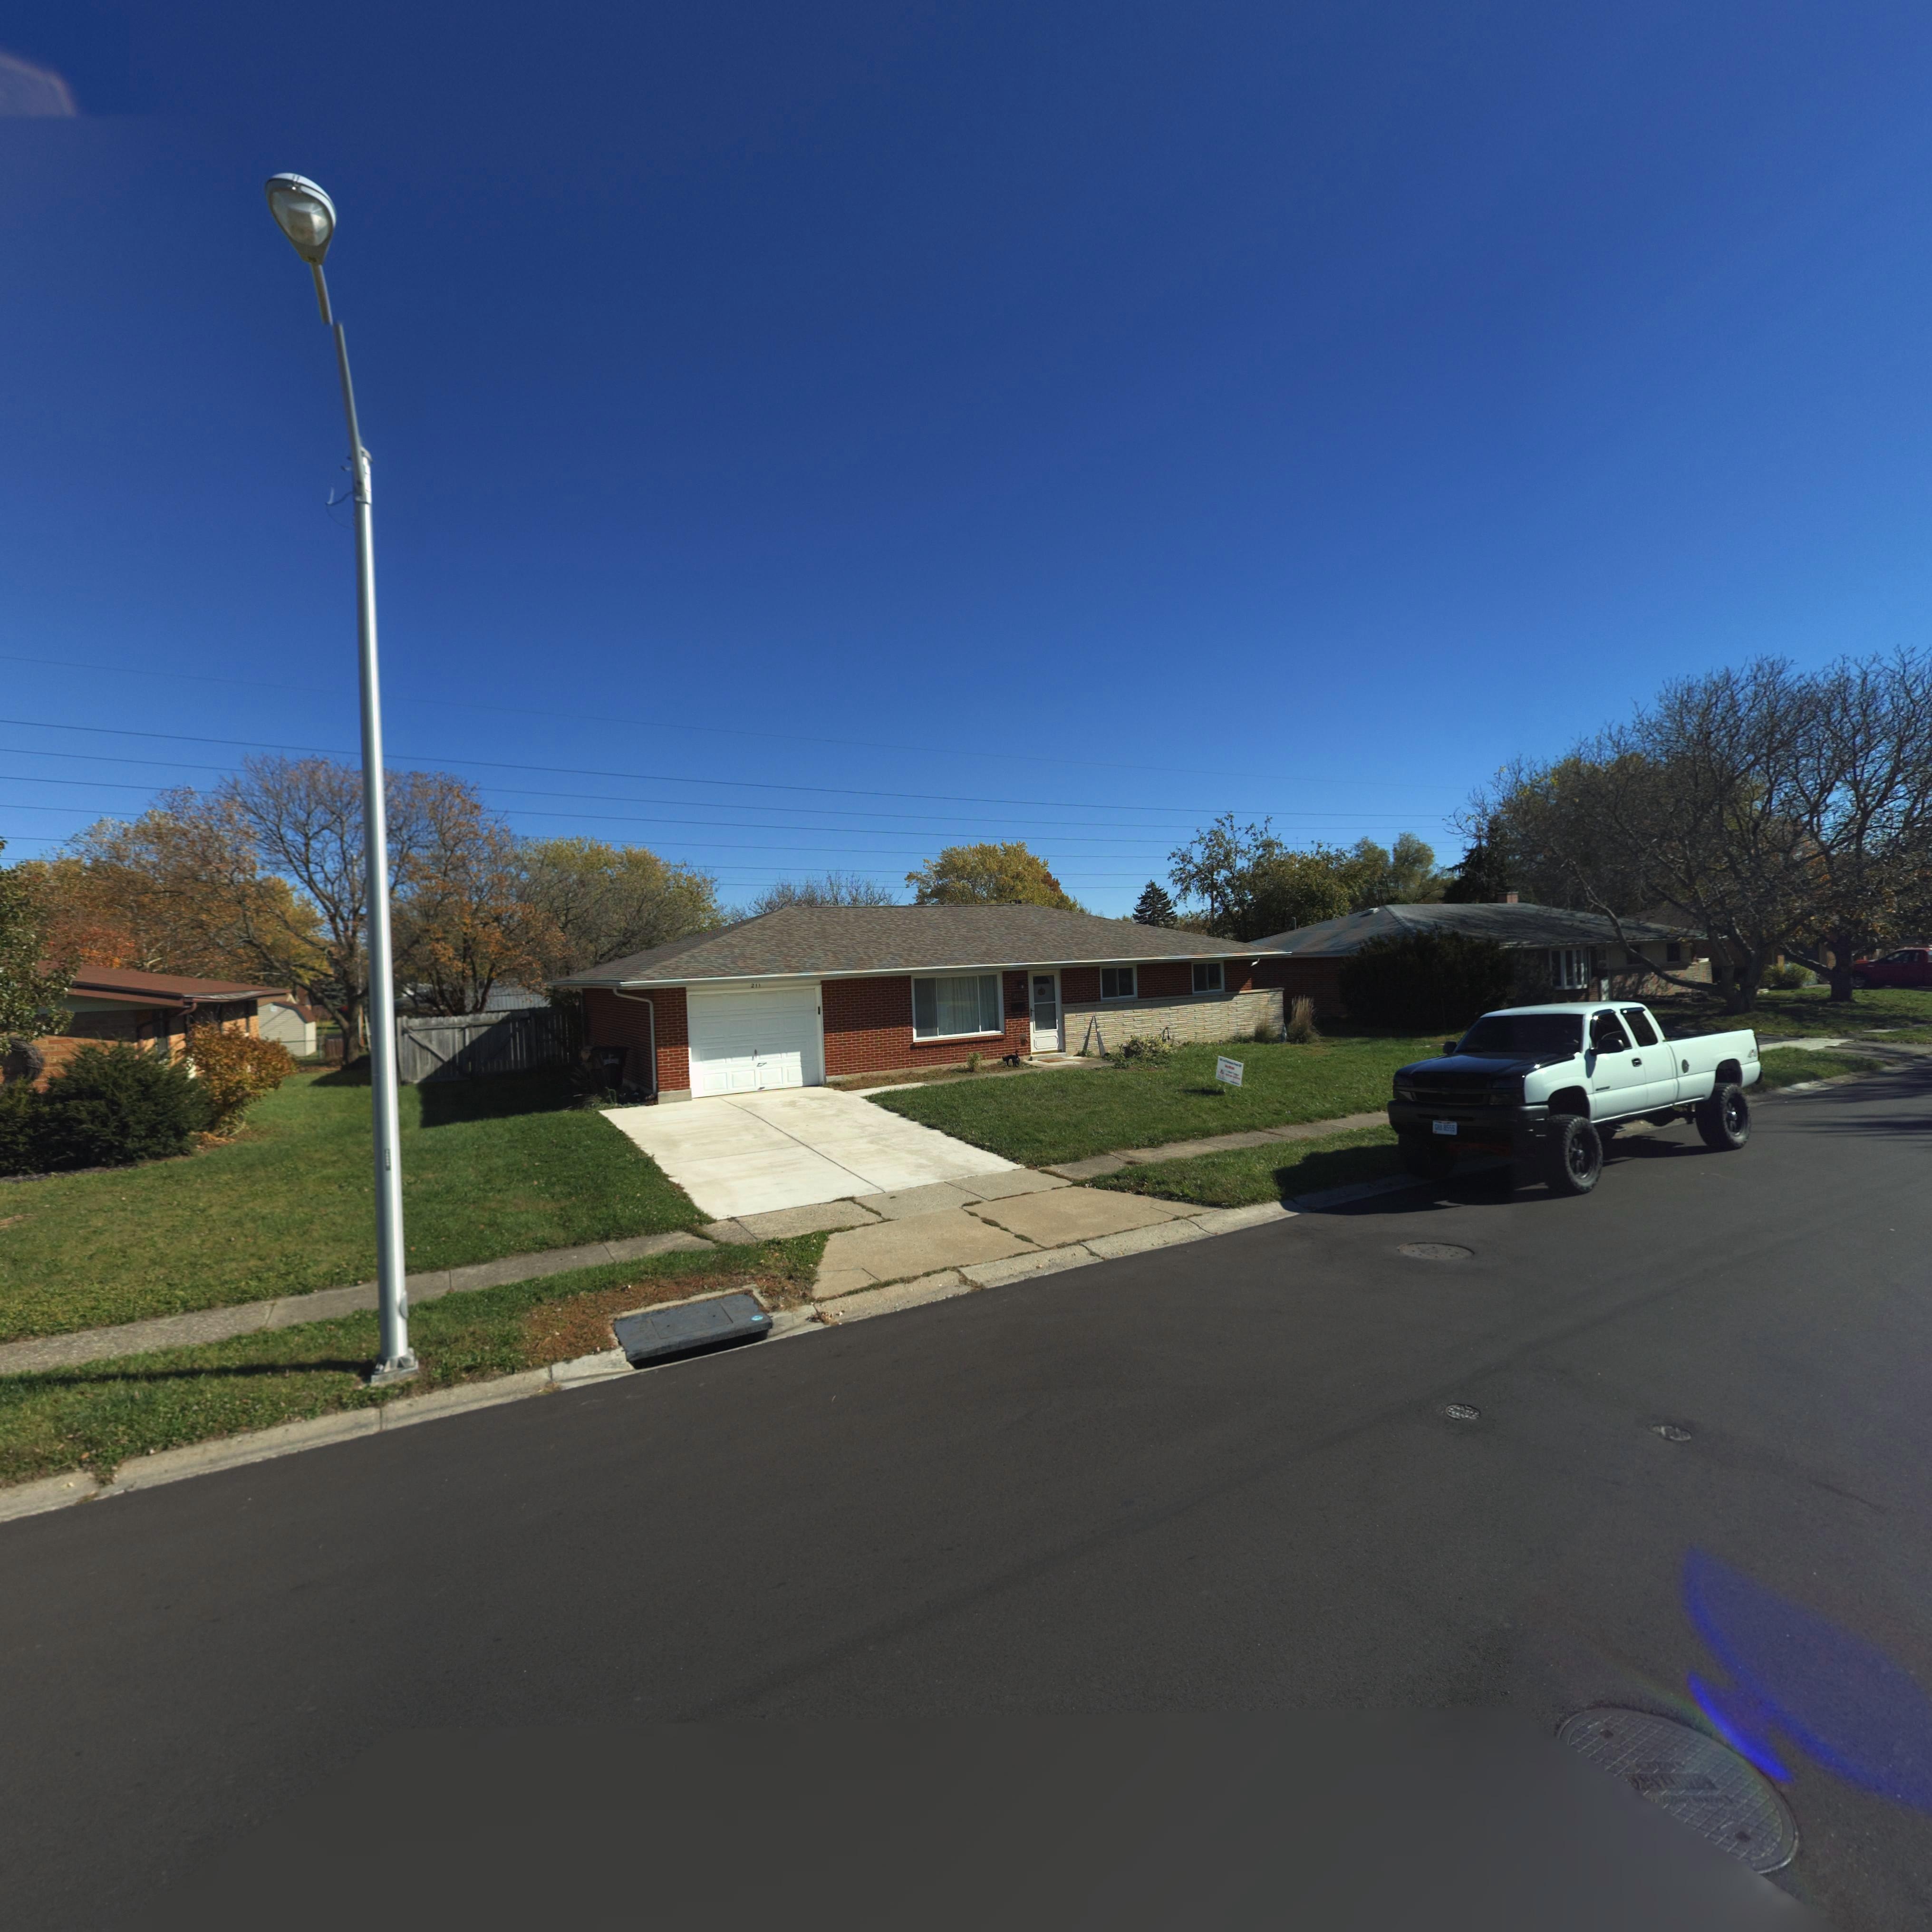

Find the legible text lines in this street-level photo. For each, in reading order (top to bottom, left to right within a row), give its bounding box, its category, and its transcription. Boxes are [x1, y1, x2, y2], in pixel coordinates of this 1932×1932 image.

[751, 983, 761, 989] StreetNumber: 211
[1013, 993, 1022, 999] StreetNumber: 211